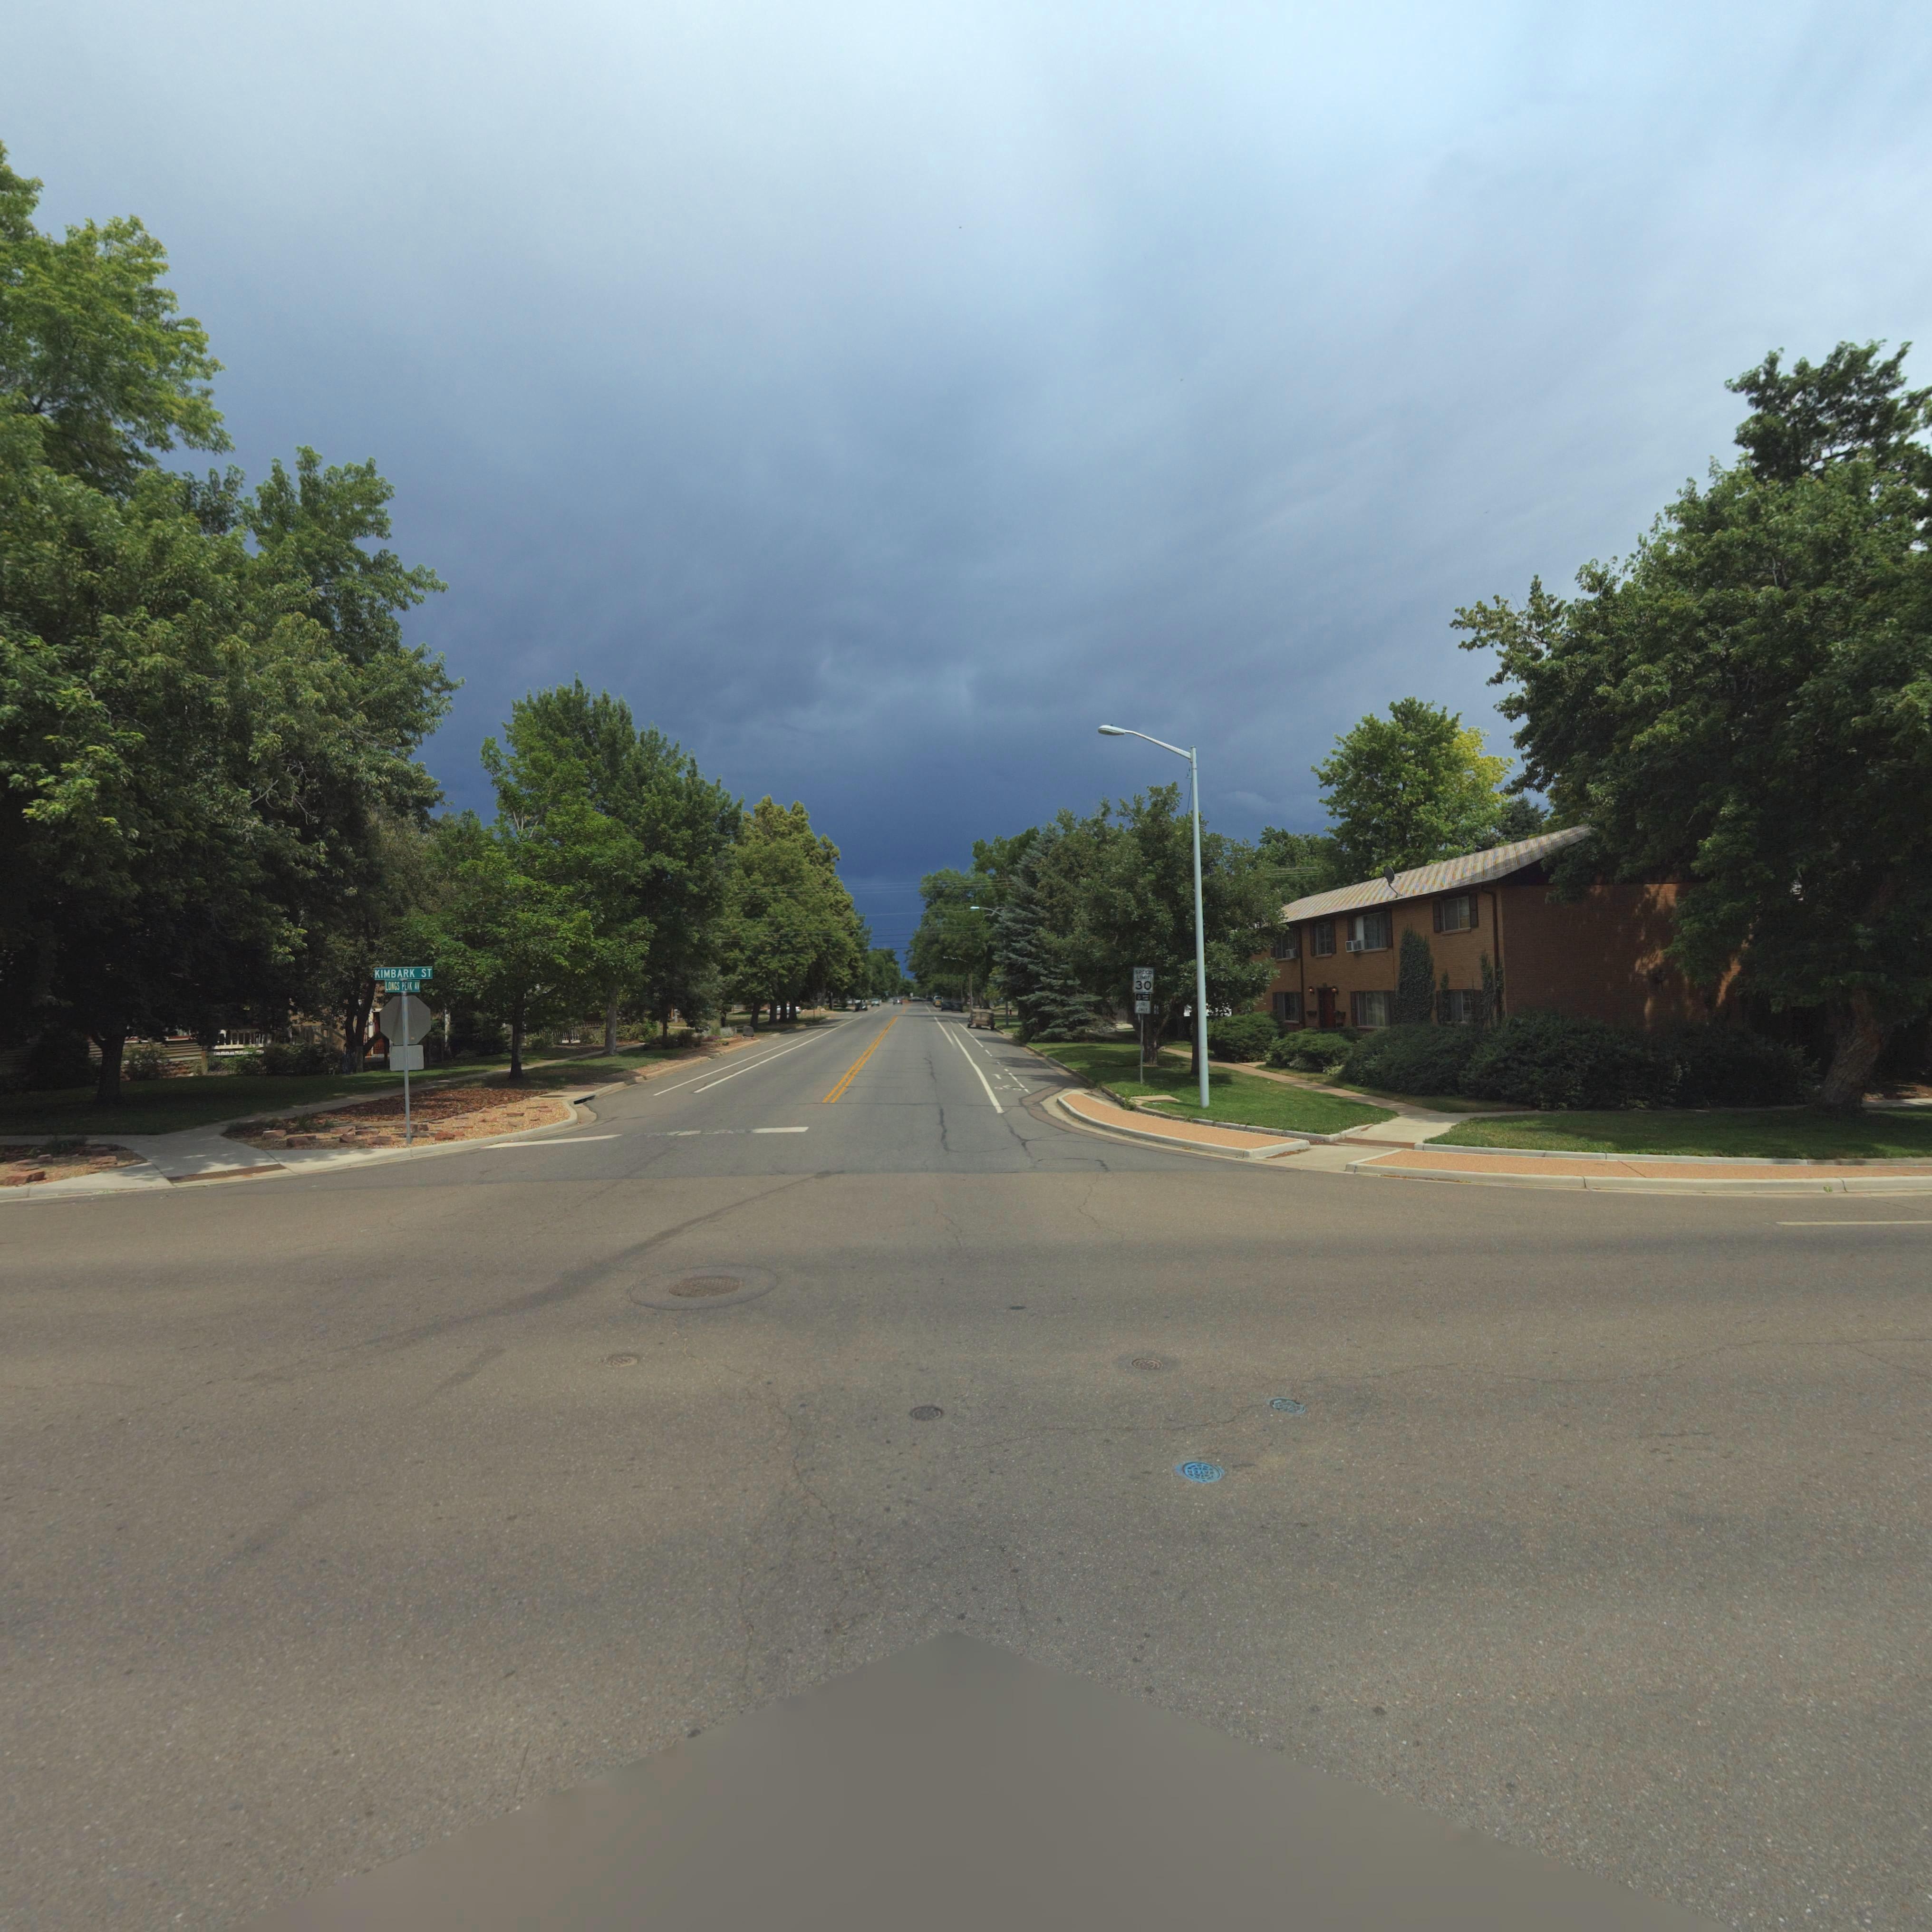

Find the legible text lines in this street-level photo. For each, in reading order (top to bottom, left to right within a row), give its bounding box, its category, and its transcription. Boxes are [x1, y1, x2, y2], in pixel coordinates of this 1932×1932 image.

[374, 968, 432, 978] StreetName: KIMBARK ST
[385, 981, 420, 991] StreetName: LONGS PEAK AV